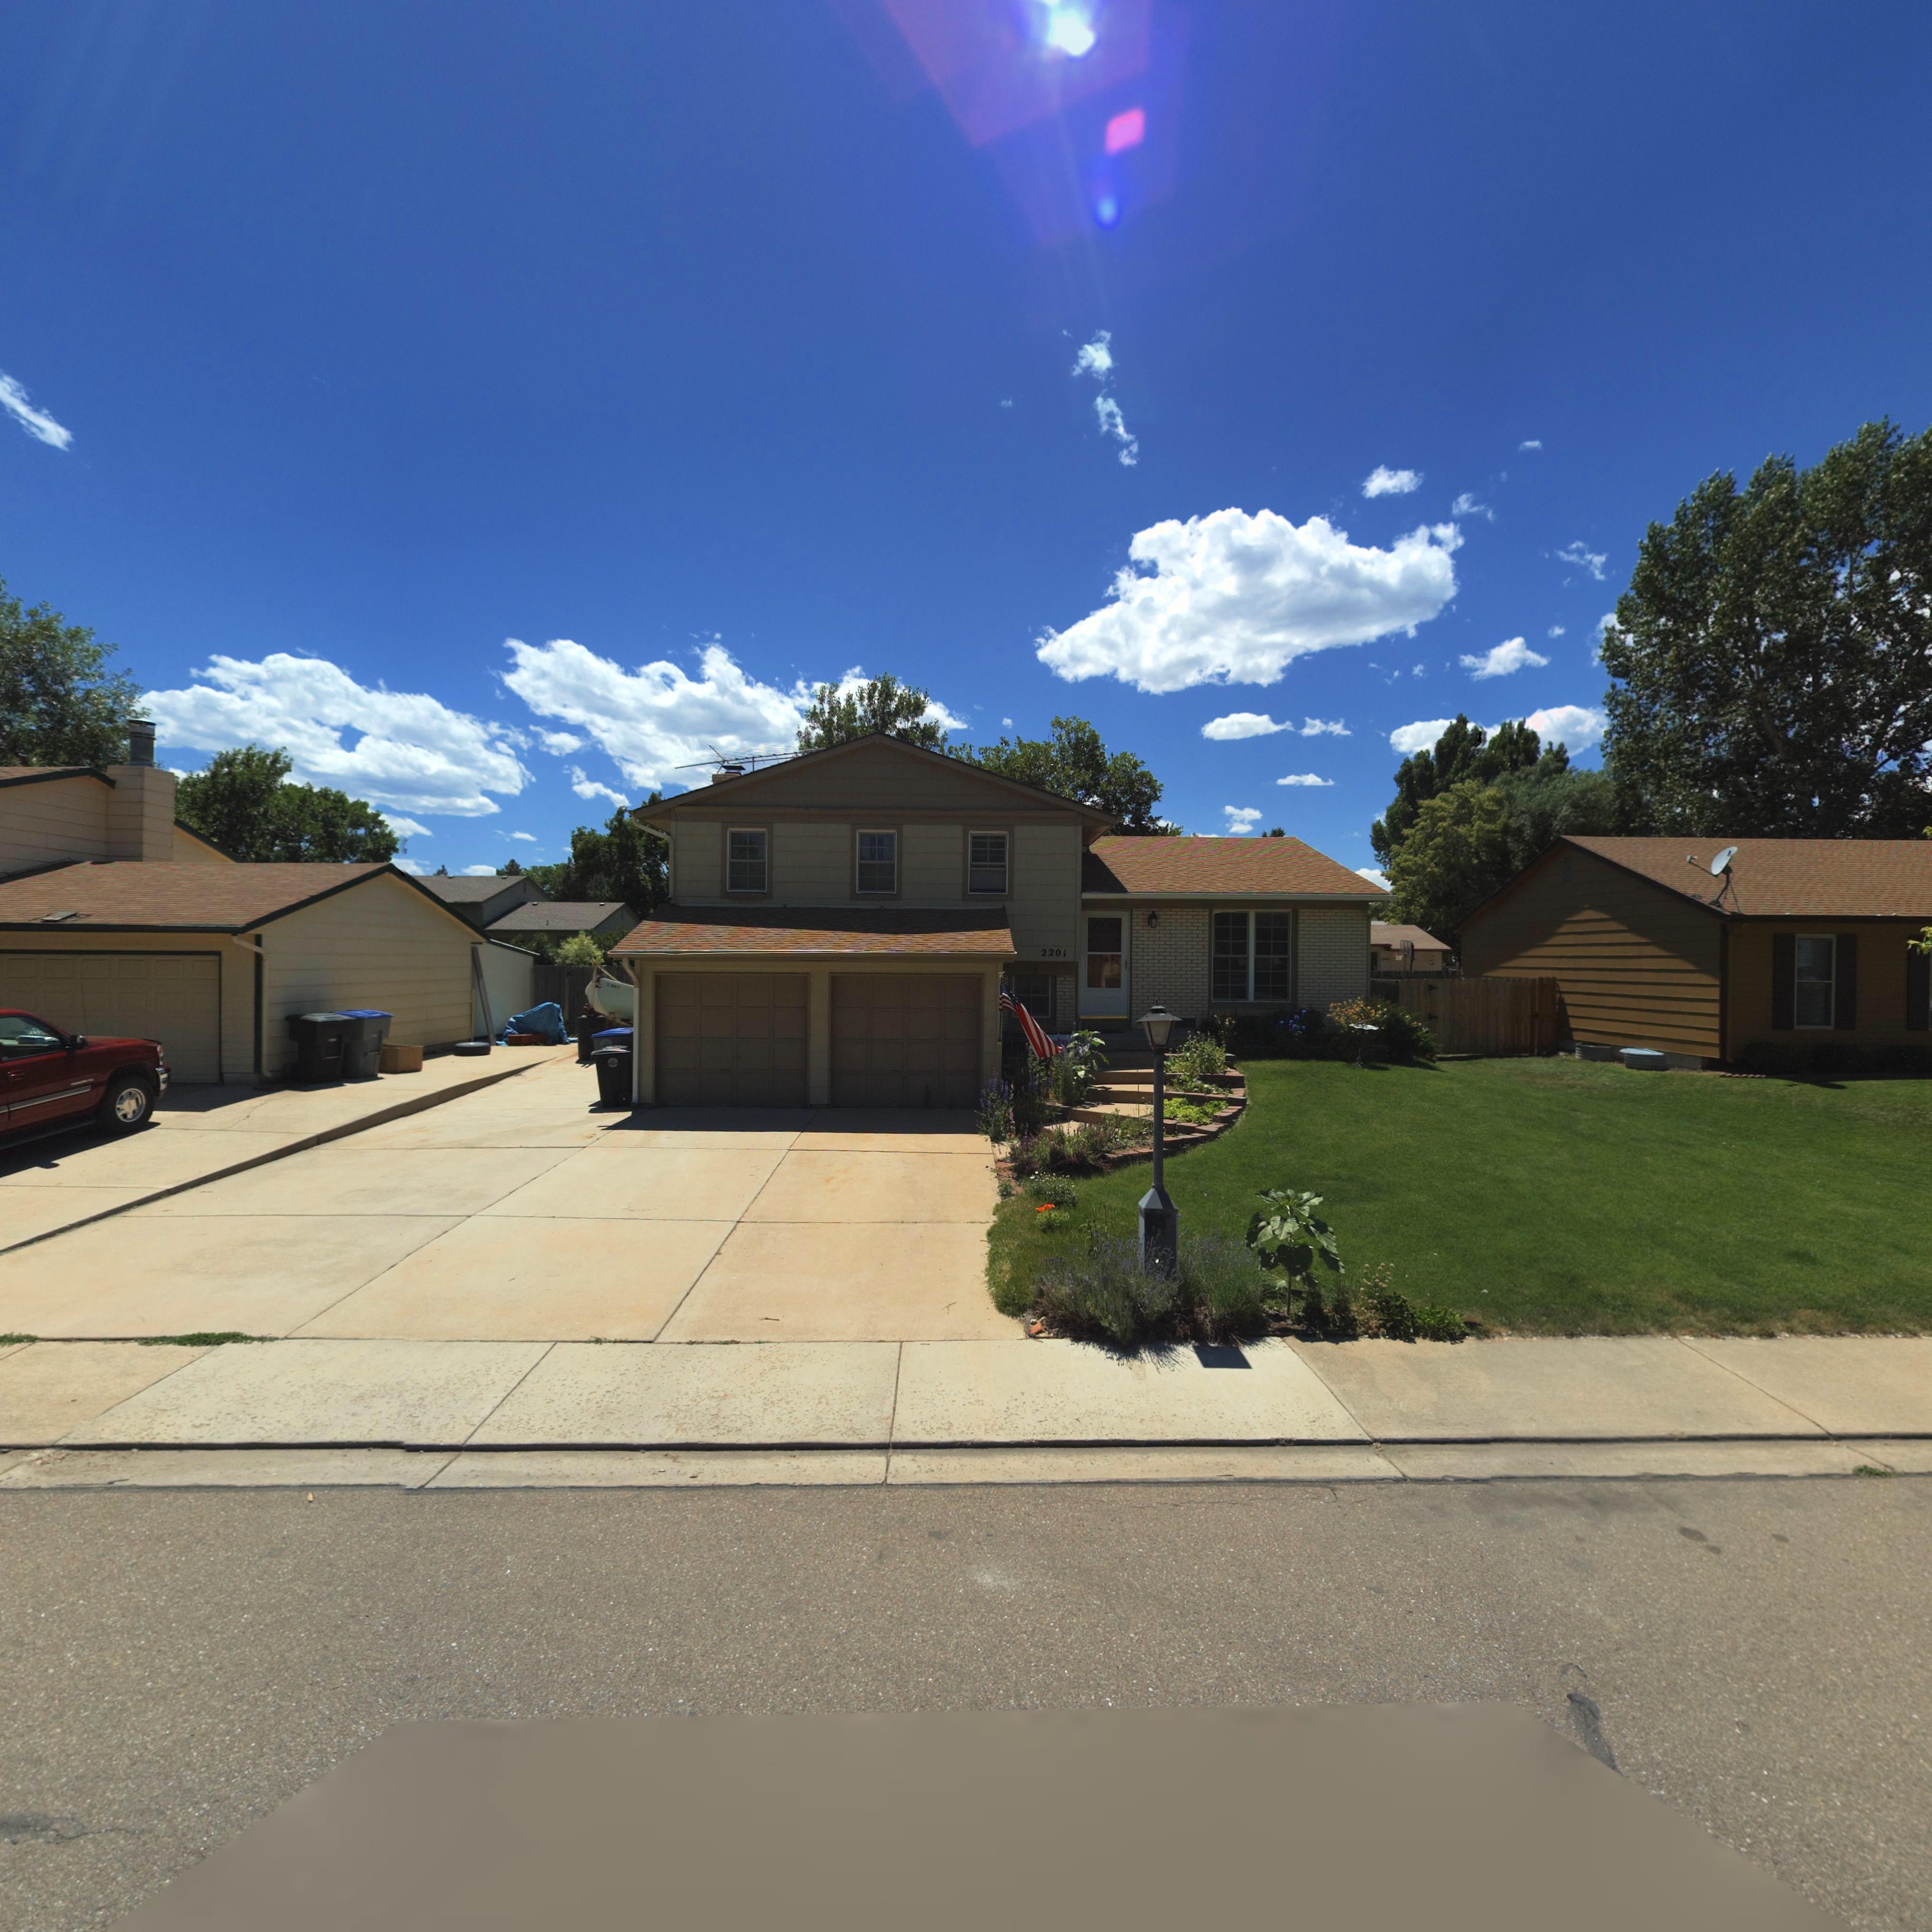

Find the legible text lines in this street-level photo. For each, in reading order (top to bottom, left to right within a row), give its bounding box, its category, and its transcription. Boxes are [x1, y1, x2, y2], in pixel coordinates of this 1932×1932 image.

[1041, 948, 1066, 957] StreetNumber: 2201